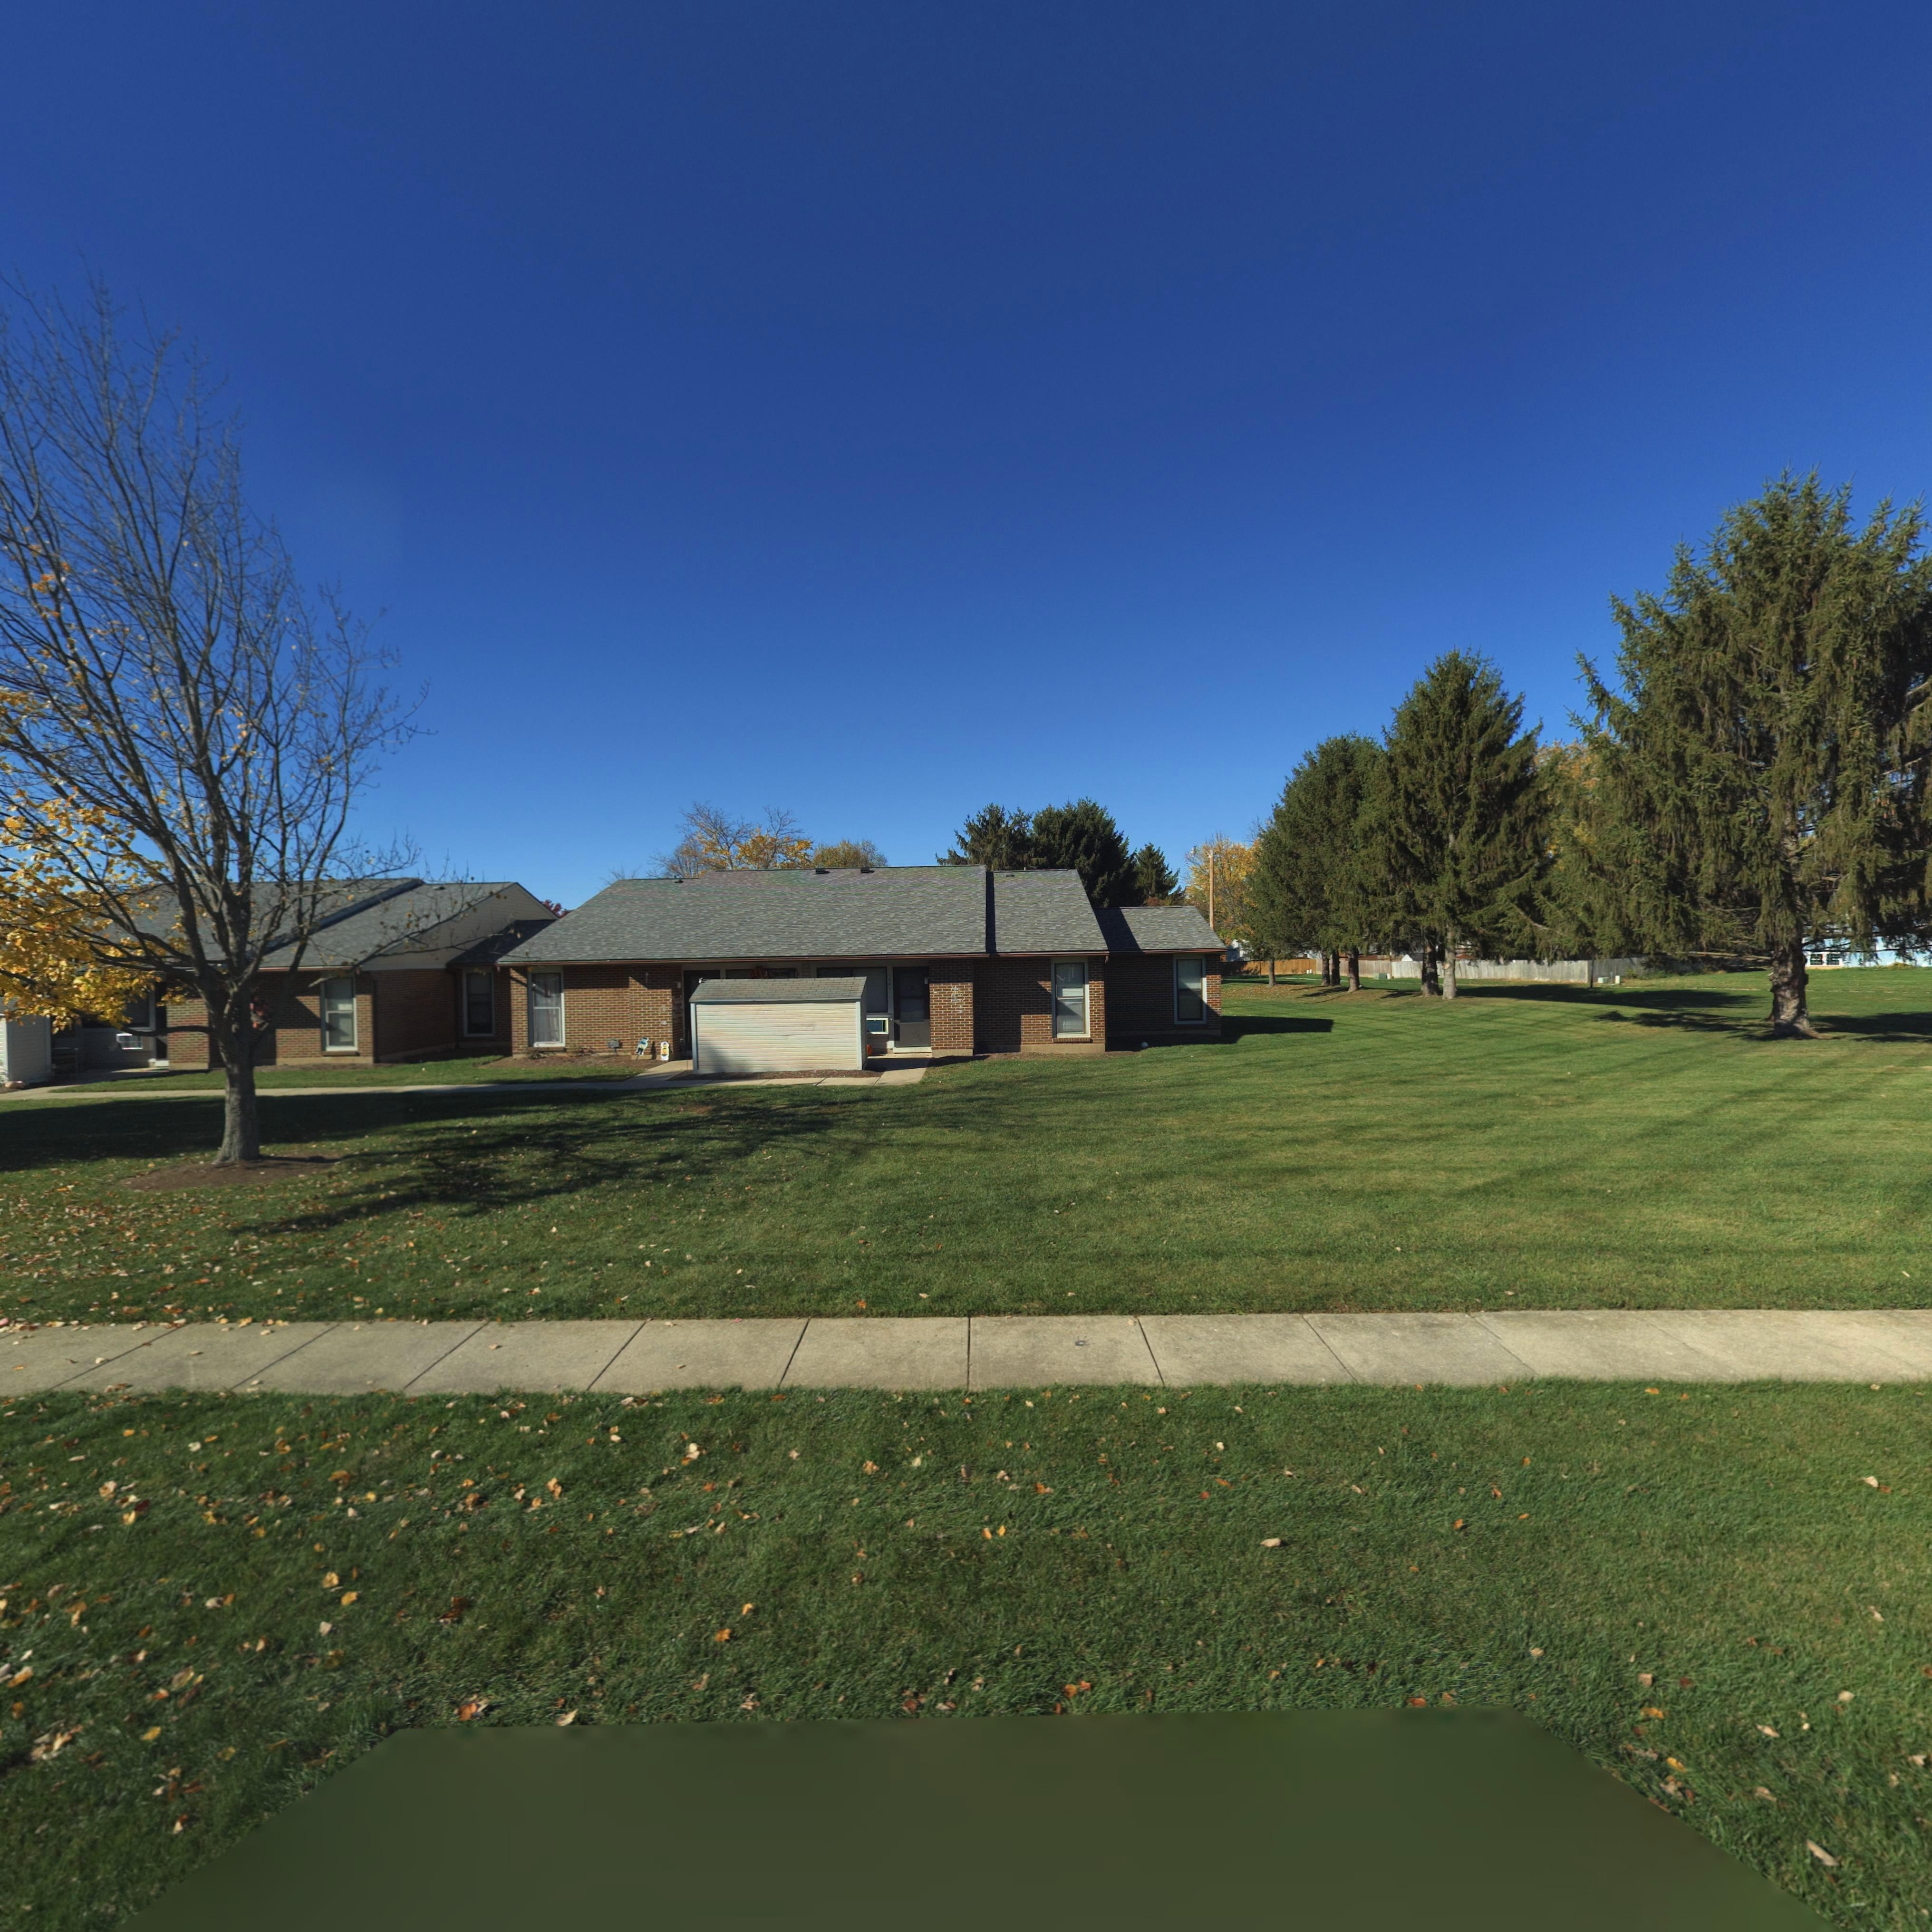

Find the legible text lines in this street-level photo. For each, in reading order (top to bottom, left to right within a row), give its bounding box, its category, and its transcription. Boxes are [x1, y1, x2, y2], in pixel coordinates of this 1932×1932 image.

[888, 973, 892, 986] StreetNumber: 104